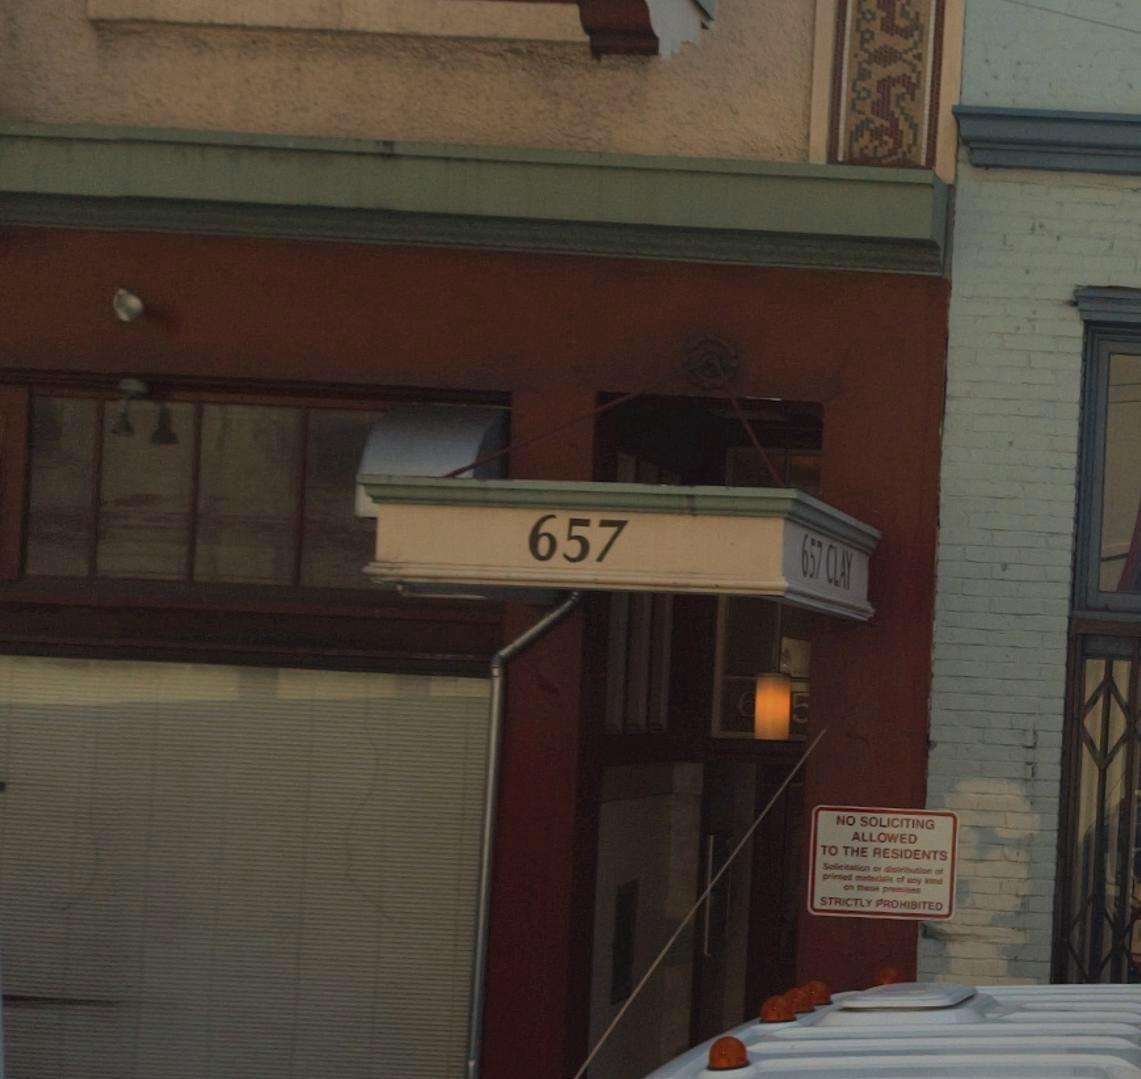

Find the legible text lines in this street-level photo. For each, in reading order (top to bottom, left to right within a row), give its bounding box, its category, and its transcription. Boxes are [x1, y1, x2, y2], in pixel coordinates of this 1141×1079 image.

[500, 500, 641, 579] StreetNumber: 657
[800, 530, 824, 581] StreetNumber: 657
[825, 541, 855, 593] StreetName: CLAY
[834, 813, 937, 832] None: NO SOLICITING
[848, 830, 920, 846] None: ALLOWED
[819, 843, 949, 863] None: TO  THE RESIDENTS
[819, 895, 945, 912] None: STRICTLY PROHIBITED